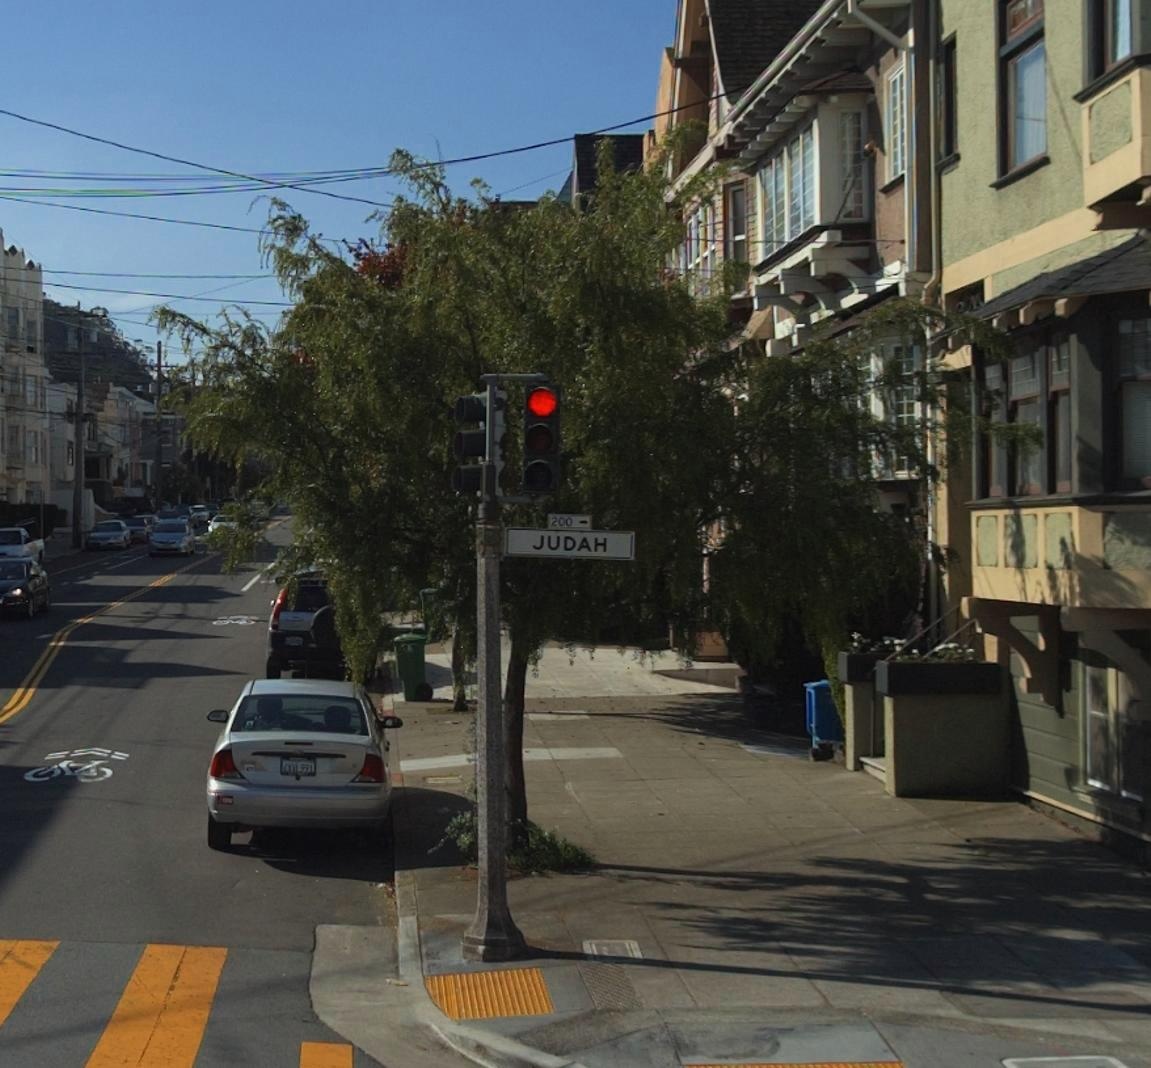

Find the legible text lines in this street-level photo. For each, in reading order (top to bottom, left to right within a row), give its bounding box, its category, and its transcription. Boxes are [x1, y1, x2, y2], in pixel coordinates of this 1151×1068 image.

[550, 514, 589, 529] StreetNumberRange: 200->
[531, 535, 607, 553] StreetName: JUDAH